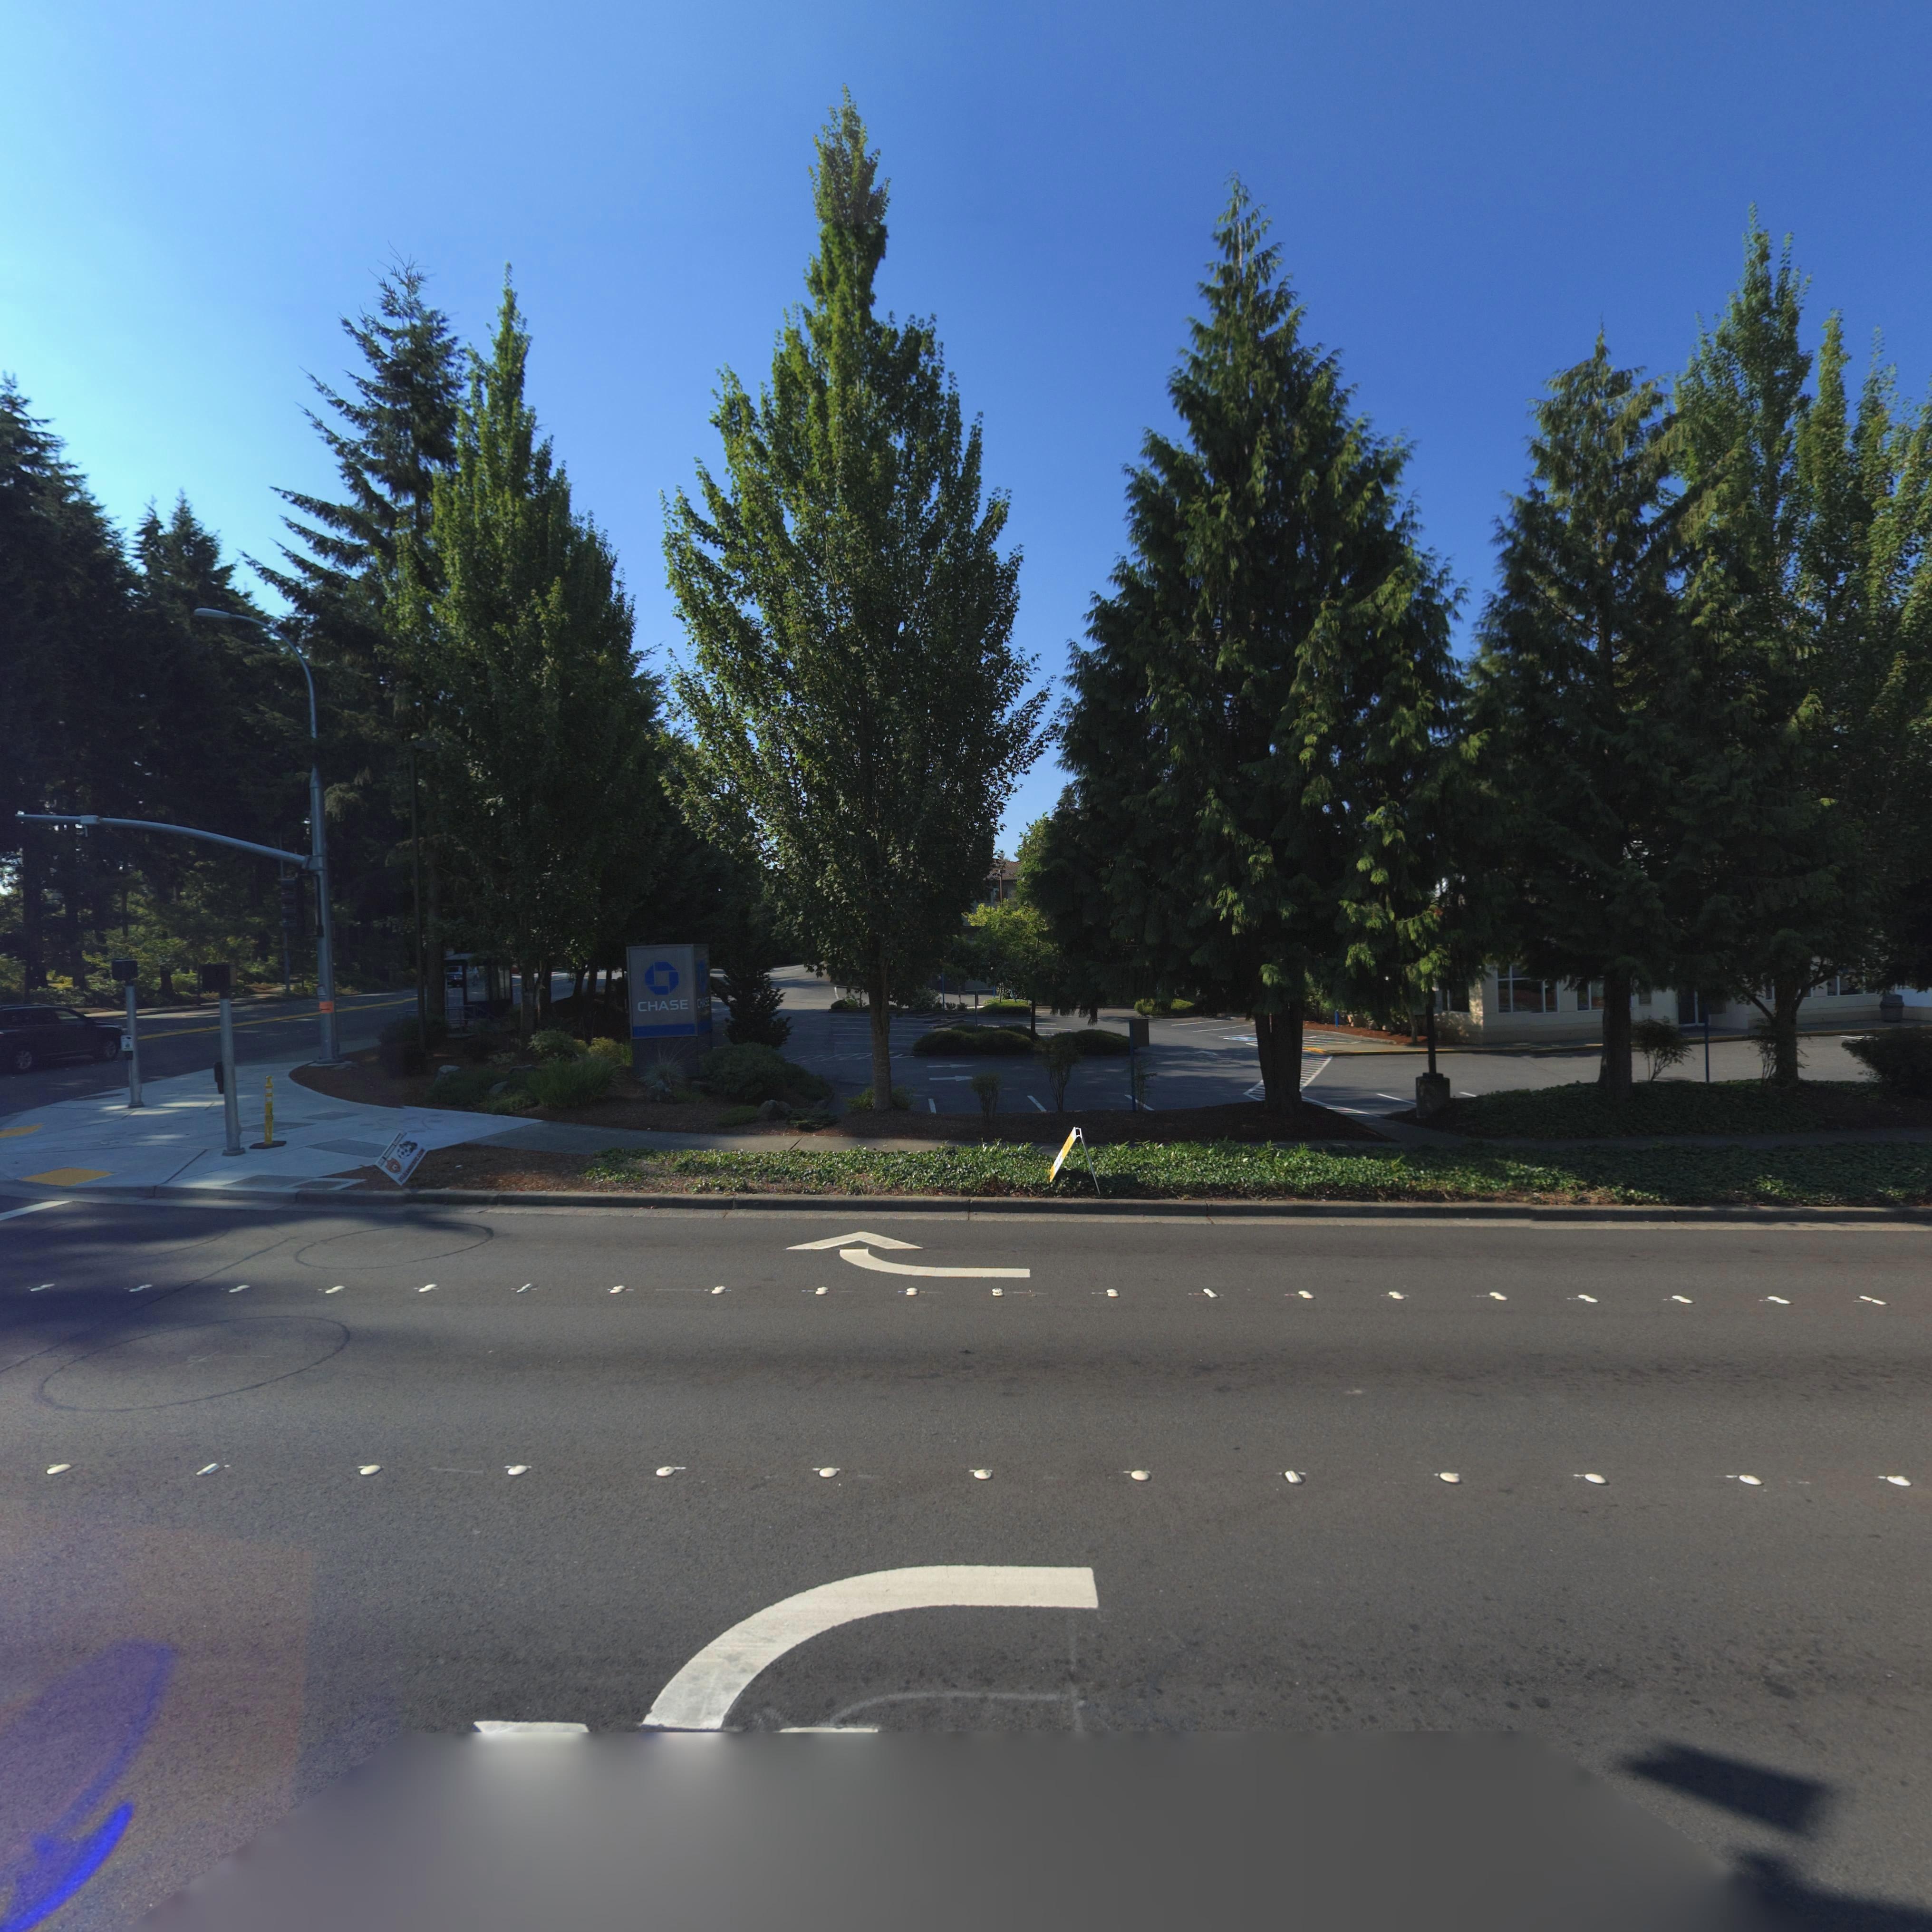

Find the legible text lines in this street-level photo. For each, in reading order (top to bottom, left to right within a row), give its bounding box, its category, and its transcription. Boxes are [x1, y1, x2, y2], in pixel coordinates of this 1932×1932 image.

[638, 999, 689, 1011] BusinessName: CHASE
[696, 995, 710, 1009] BusinessName: CHASE